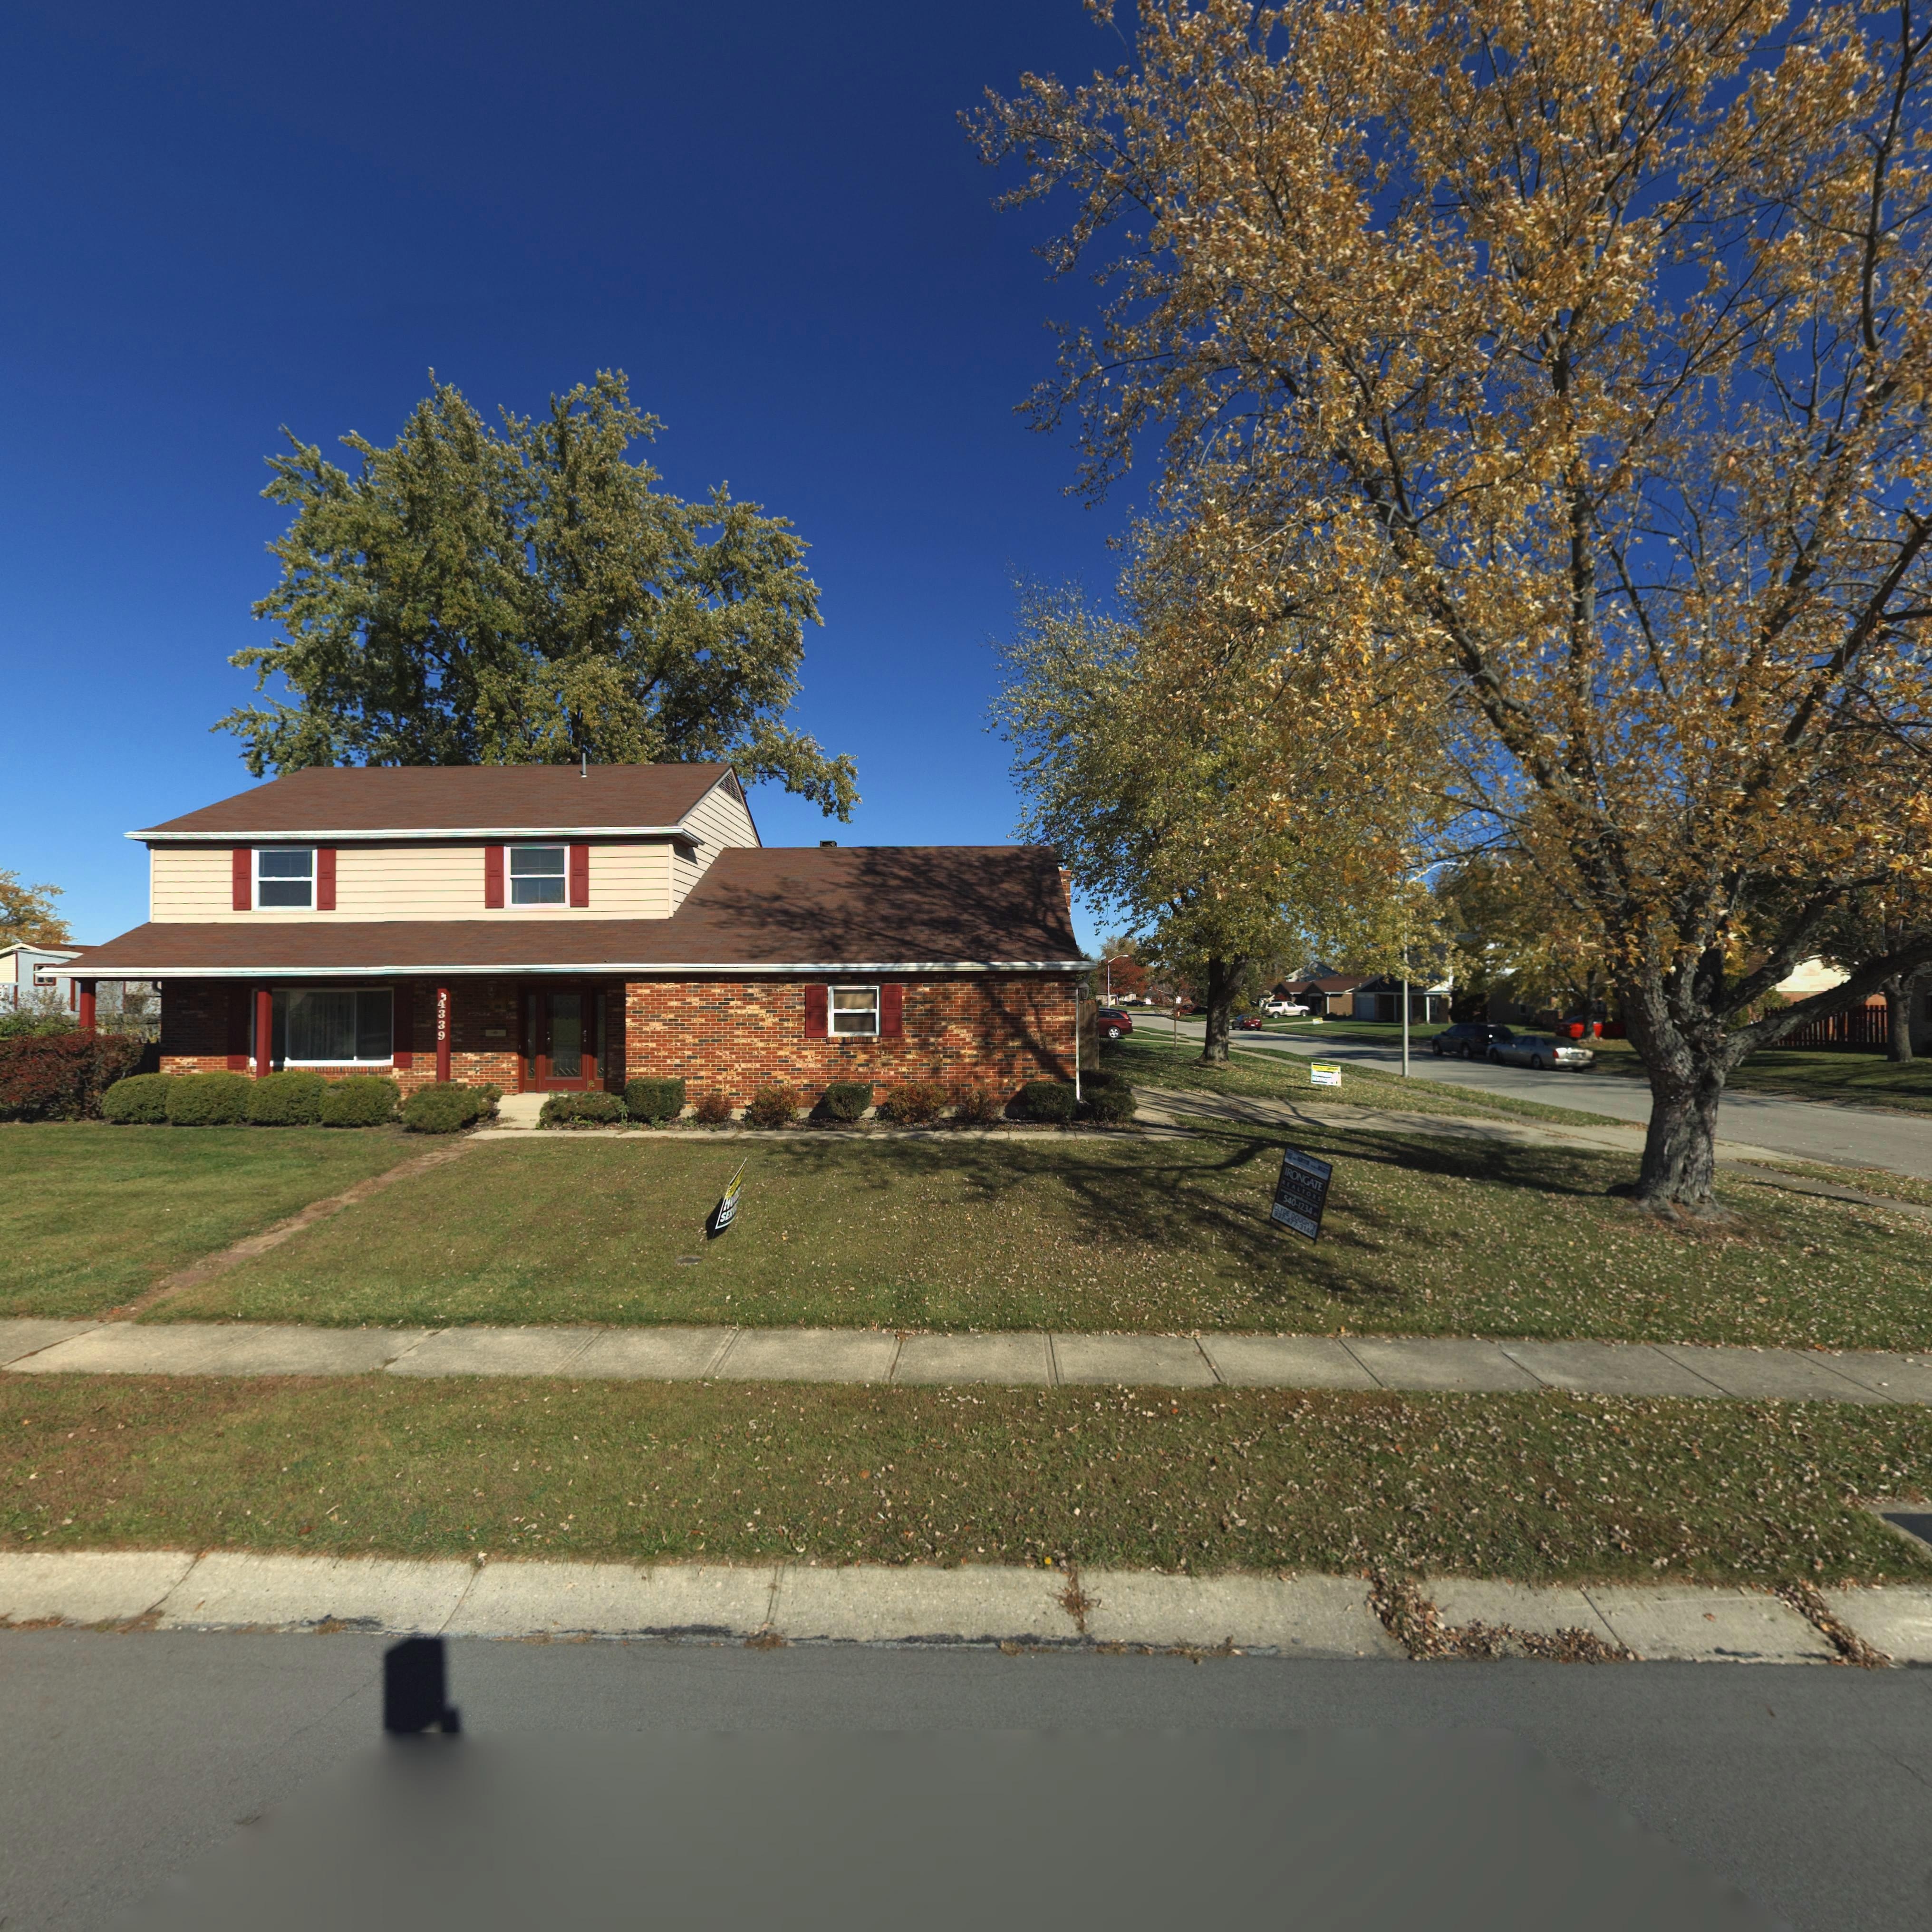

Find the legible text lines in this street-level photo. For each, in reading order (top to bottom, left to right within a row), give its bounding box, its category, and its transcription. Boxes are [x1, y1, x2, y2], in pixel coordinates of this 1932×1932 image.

[437, 999, 446, 1041] StreetNumber: 4339